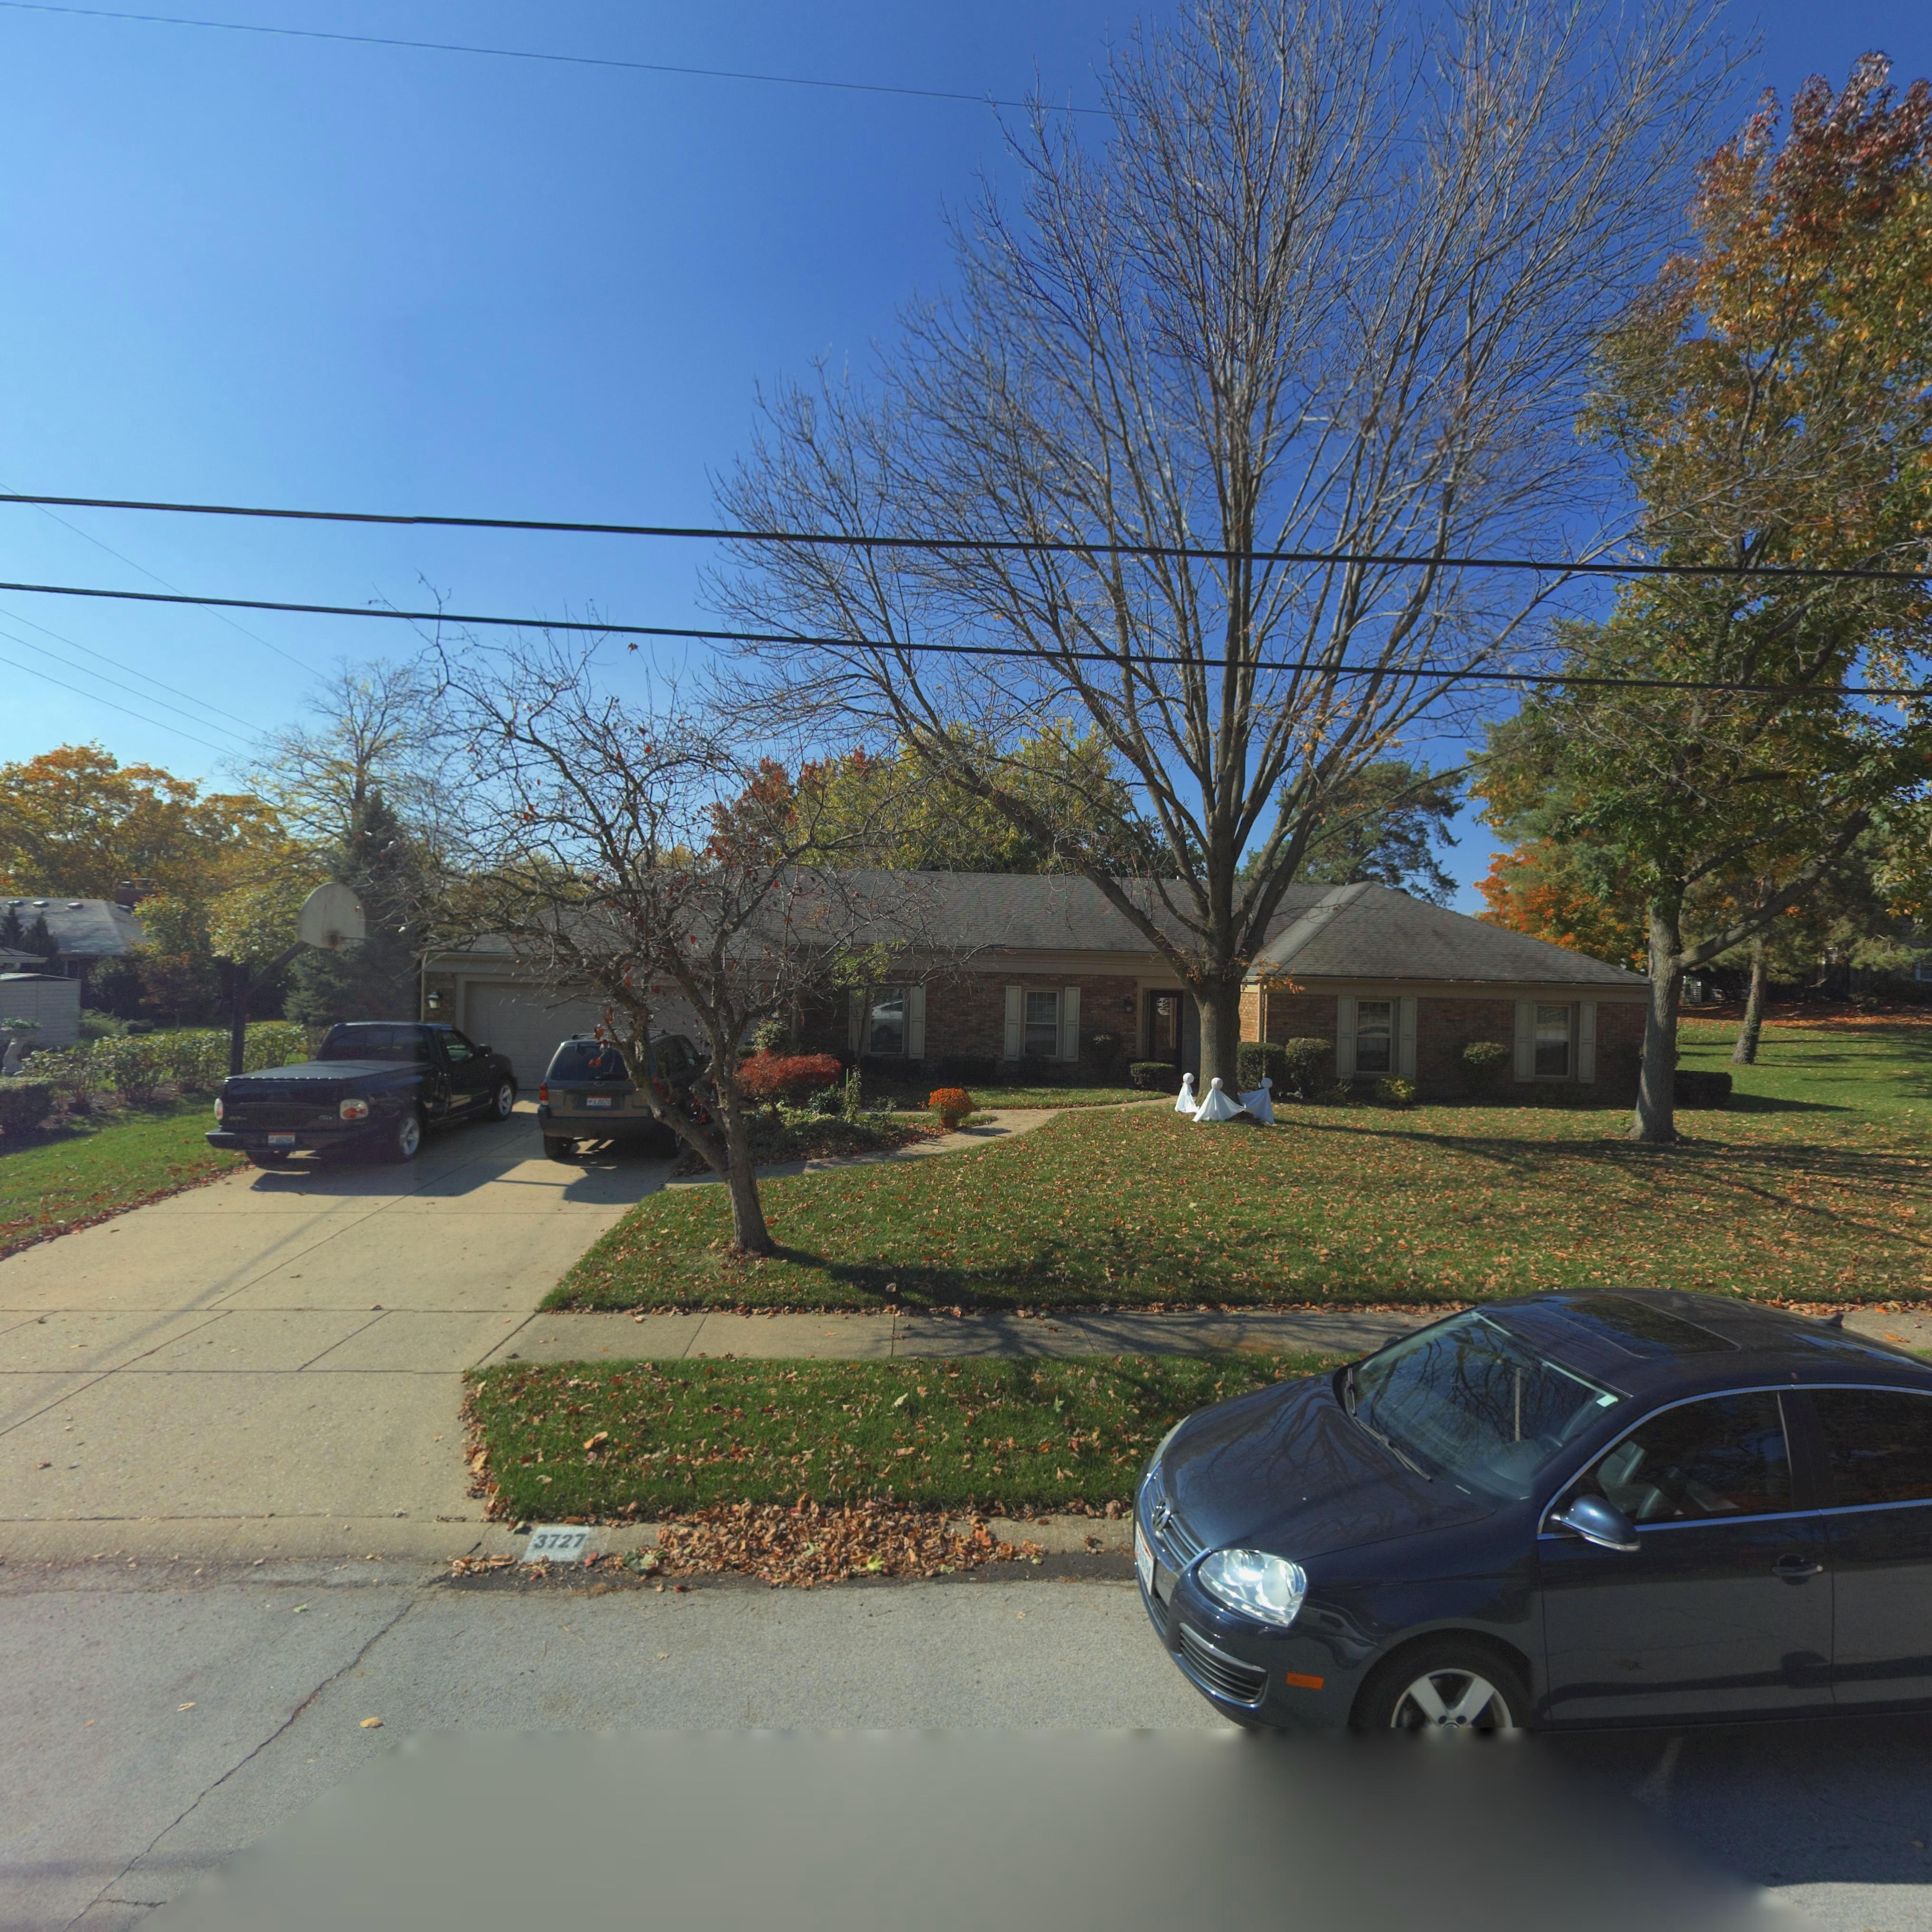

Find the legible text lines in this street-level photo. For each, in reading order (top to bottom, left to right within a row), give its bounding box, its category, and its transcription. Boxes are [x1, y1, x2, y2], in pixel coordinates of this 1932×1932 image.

[592, 1098, 610, 1105] None: AJ8020
[228, 1115, 241, 1121] None: SVT
[275, 1136, 293, 1143] None: AP79HC
[530, 1532, 588, 1549] StreetNumber: 3727